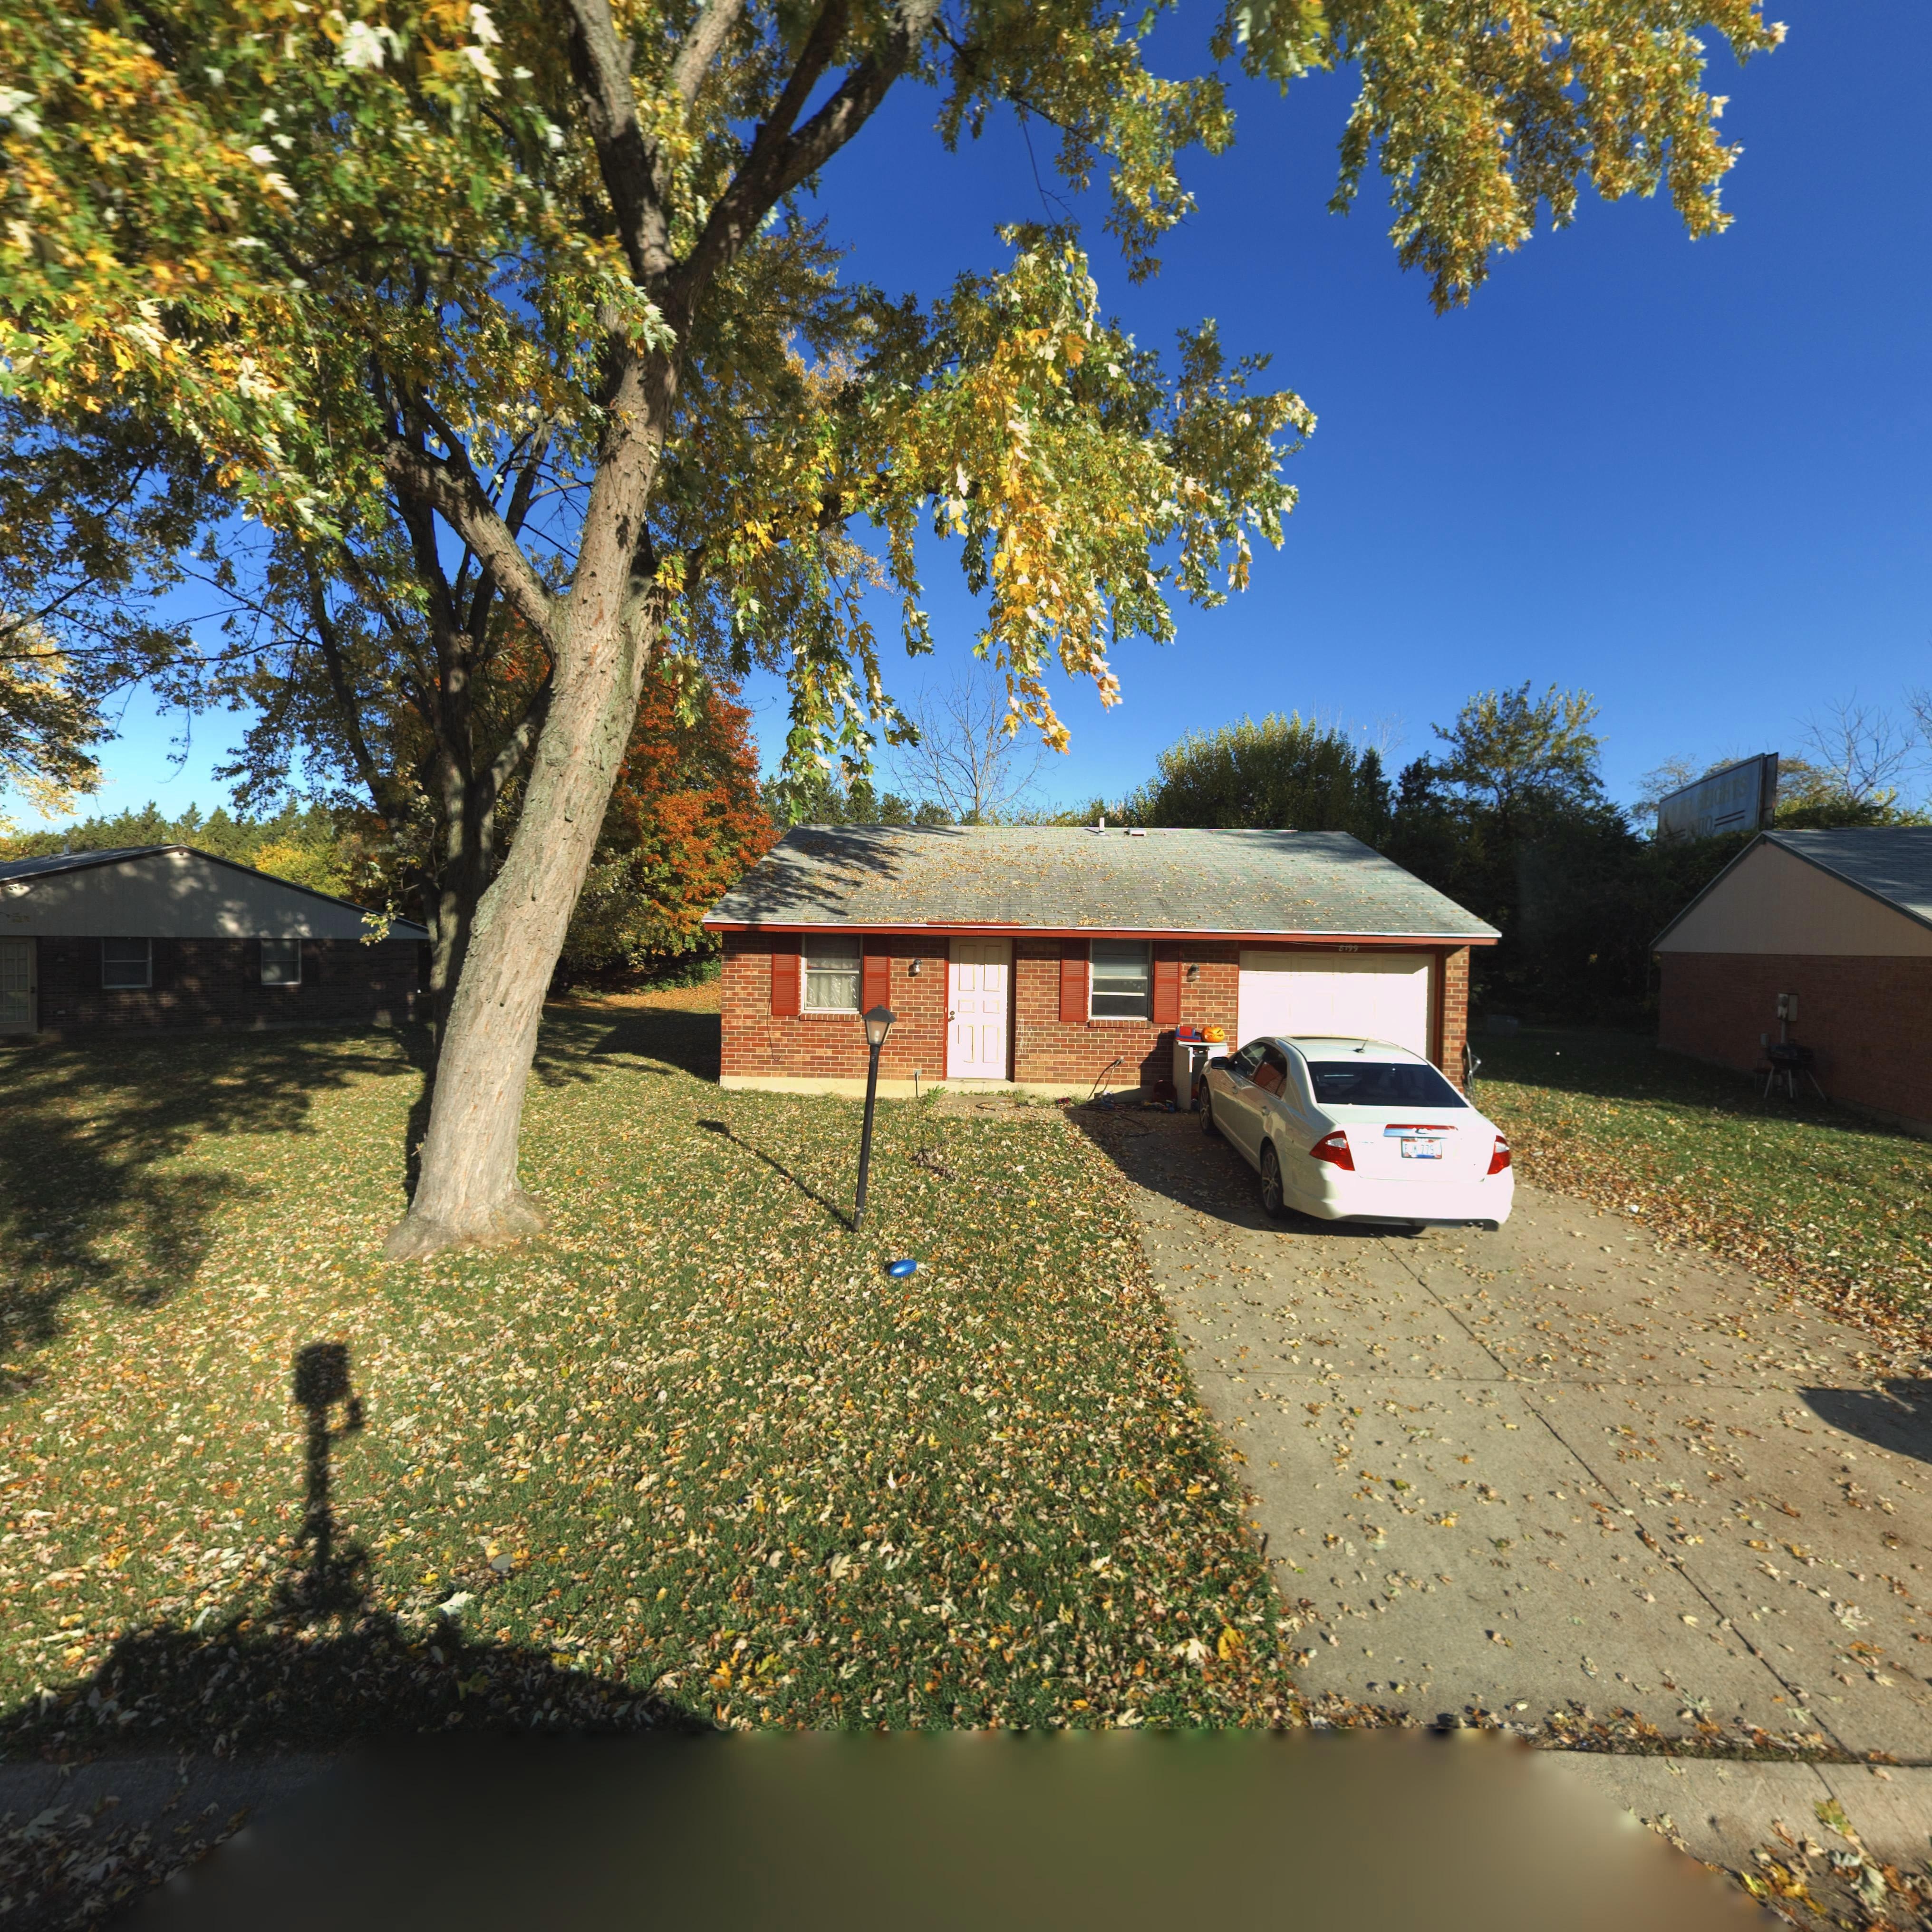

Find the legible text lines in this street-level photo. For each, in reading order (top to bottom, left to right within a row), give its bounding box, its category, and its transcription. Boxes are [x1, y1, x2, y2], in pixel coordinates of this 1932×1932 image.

[1338, 944, 1360, 953] StreetNumber: 8199